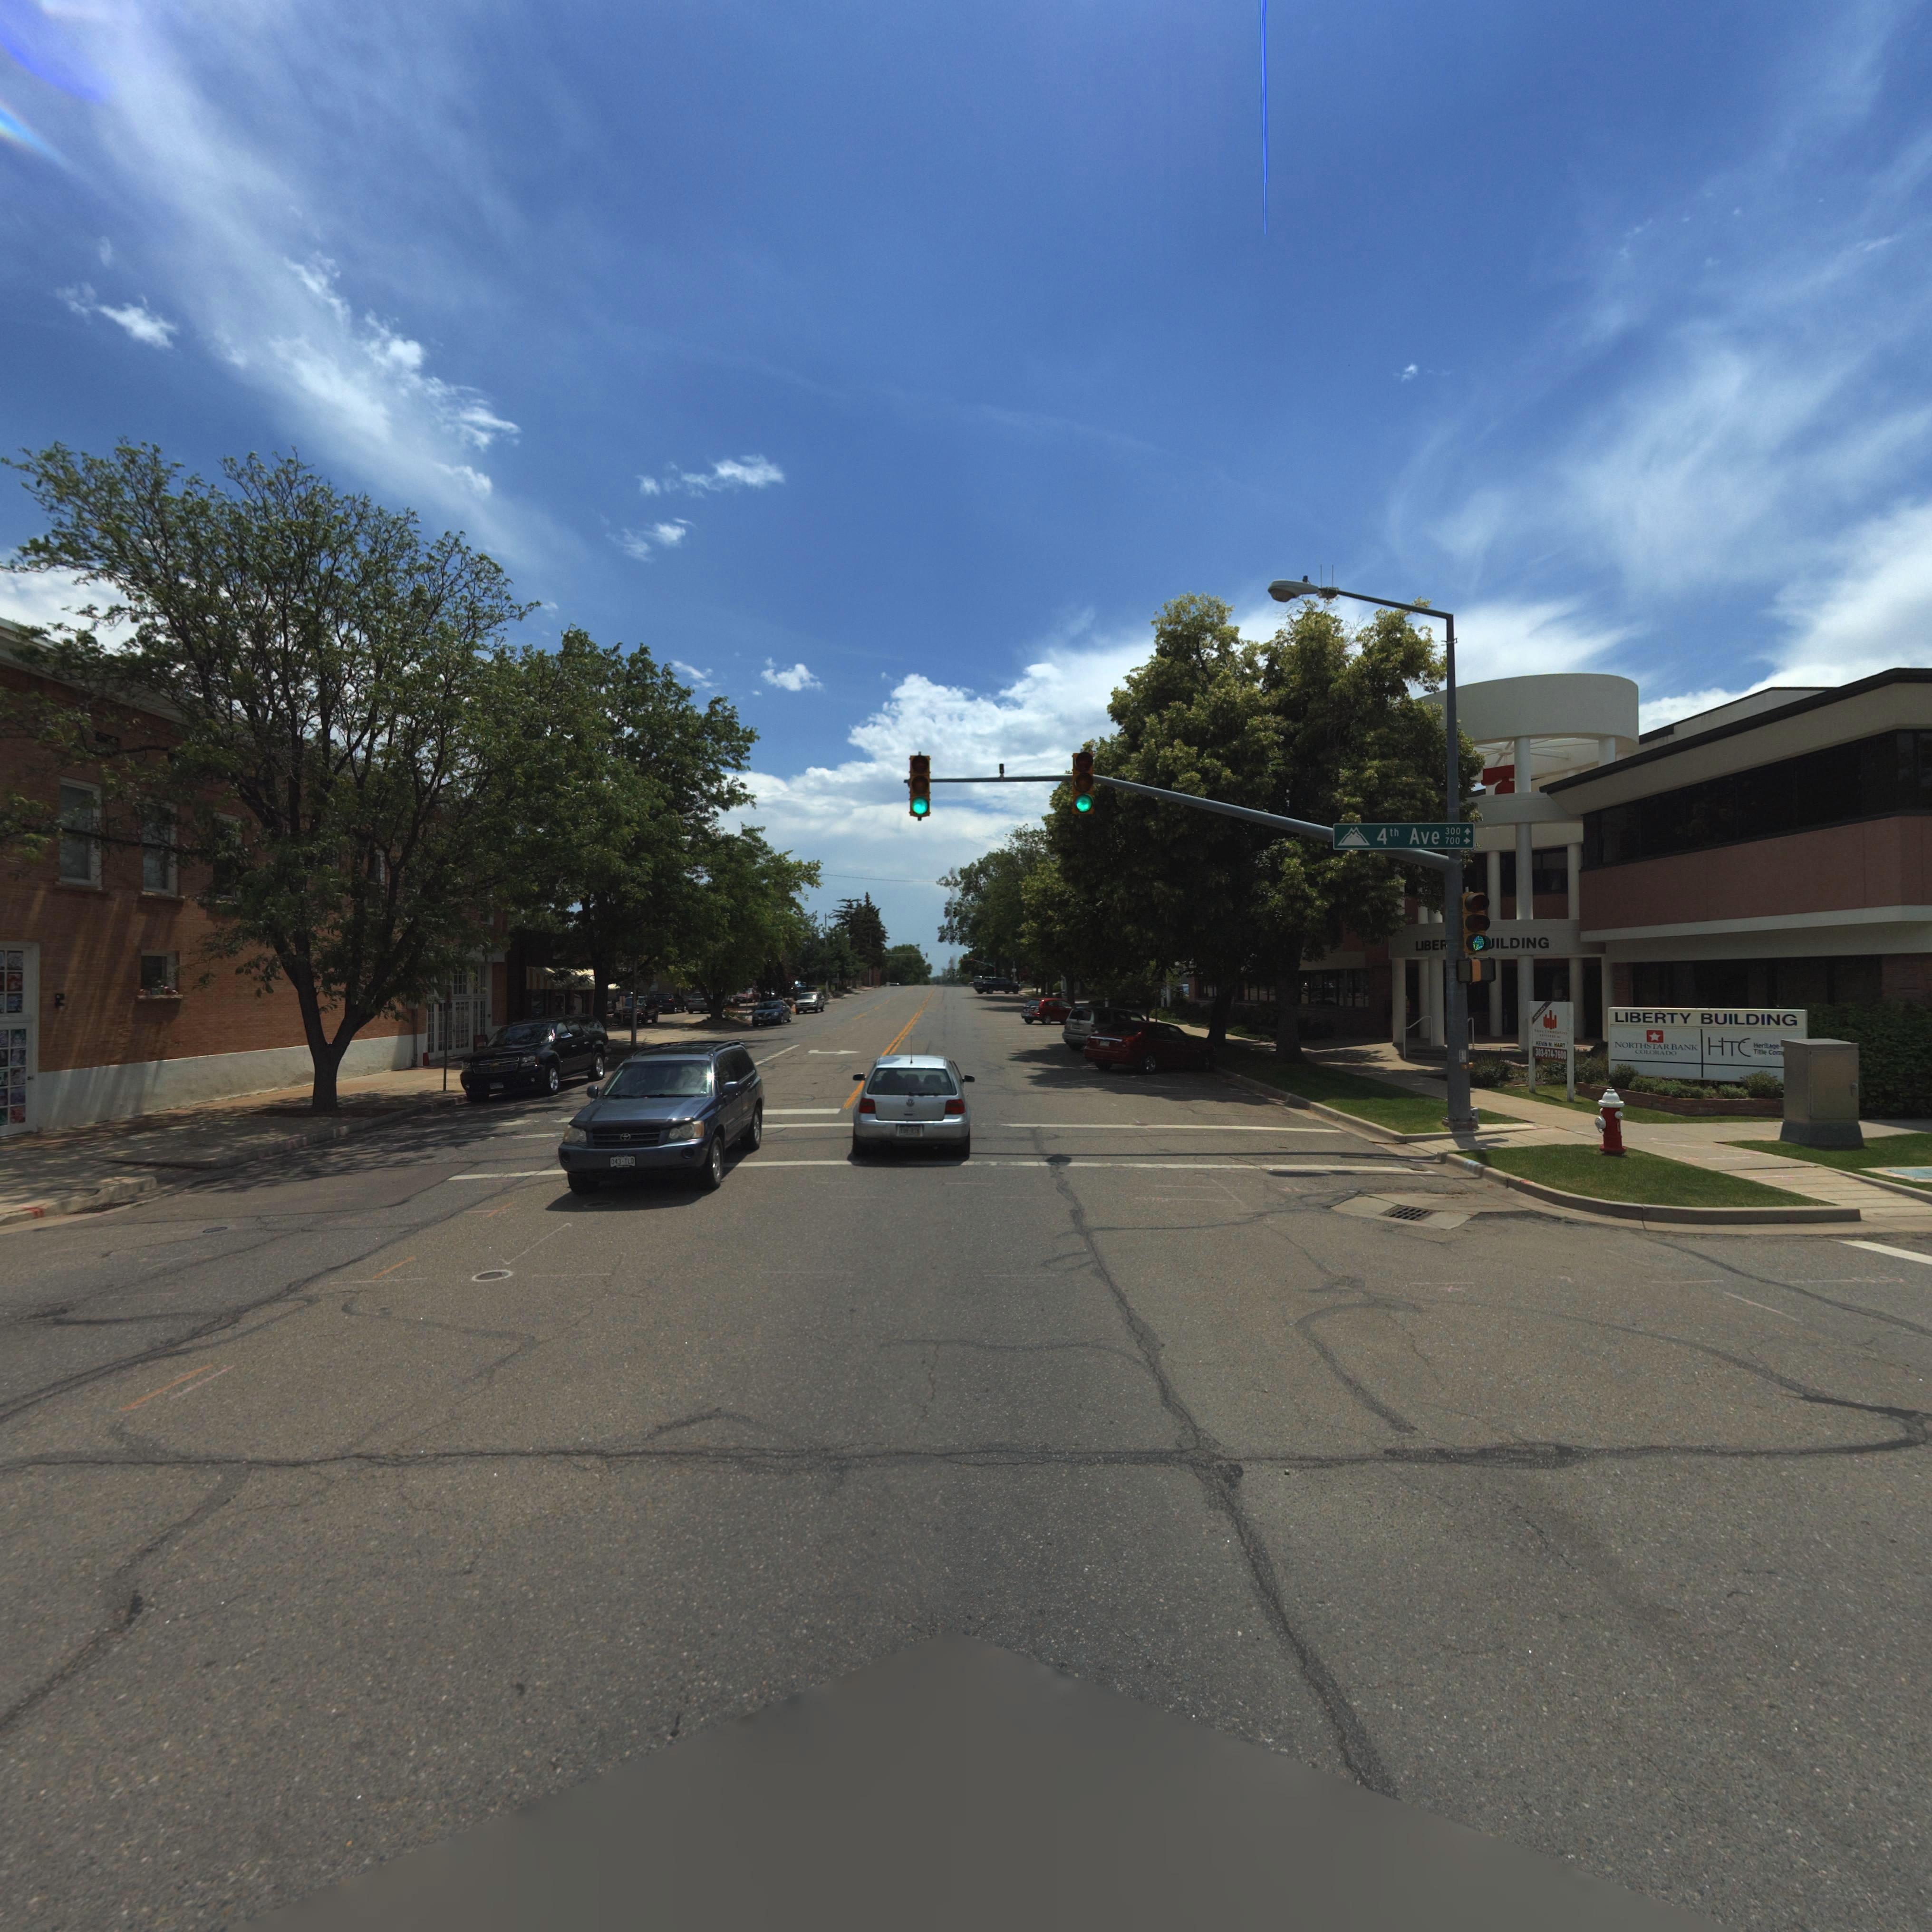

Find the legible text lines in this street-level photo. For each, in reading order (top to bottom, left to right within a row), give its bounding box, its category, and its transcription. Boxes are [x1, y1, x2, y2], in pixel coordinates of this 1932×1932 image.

[1444, 827, 1460, 835] StreetNumberRange: 300
[1375, 827, 1440, 845] StreetName: 4th Ave
[1444, 837, 1471, 844] StreetNumberRange: 700->
[1614, 1042, 1698, 1051] BusinessName: NORTHSTAR BANK
[1707, 1036, 1751, 1057] BusinessName: HTC
[1753, 1042, 1779, 1050] BusinessName: Heritage
[1634, 1049, 1677, 1056] BusinessName: COLORADO
[1753, 1048, 1784, 1056] BusinessName: Title Com